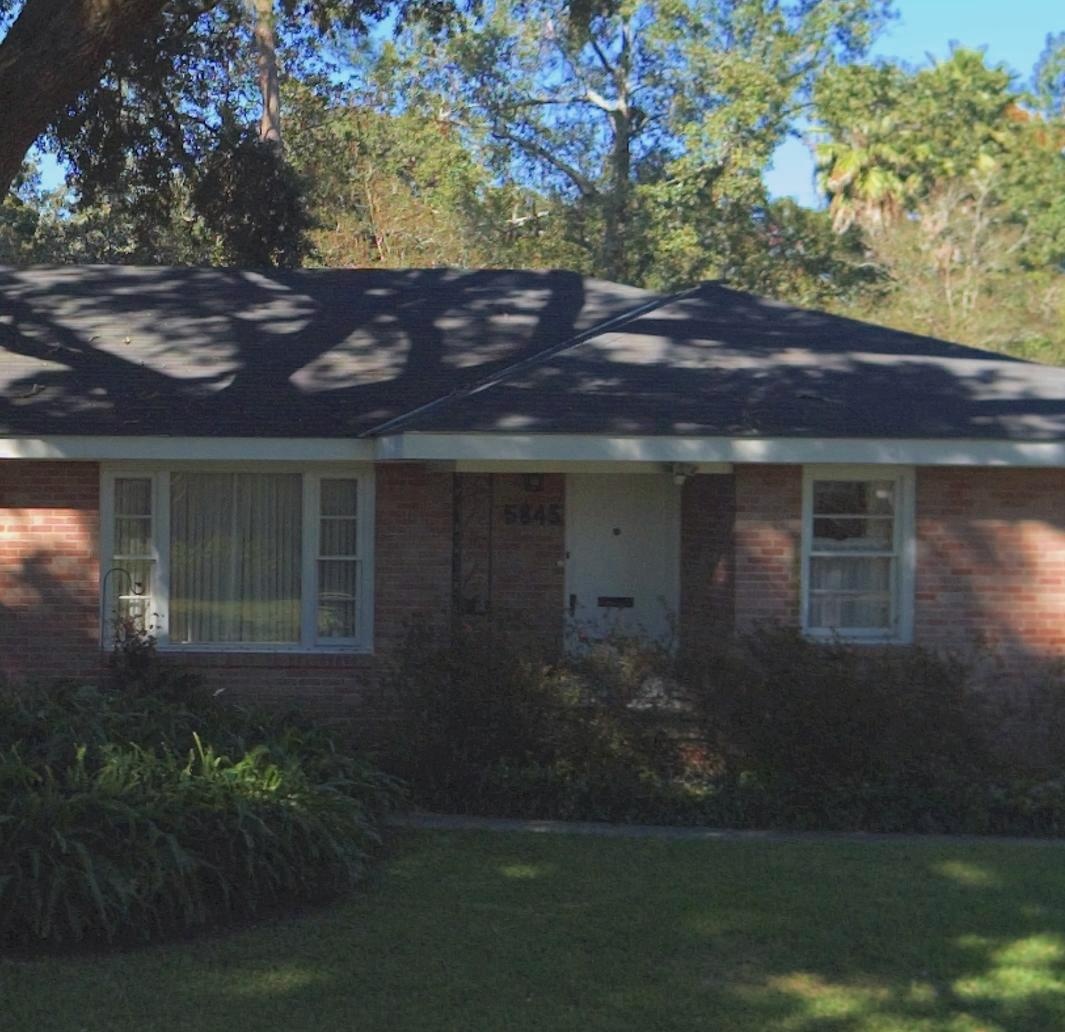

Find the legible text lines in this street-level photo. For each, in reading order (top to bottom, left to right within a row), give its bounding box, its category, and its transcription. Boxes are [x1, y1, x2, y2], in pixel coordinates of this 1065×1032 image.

[503, 503, 563, 526] StreetNumber: 5845